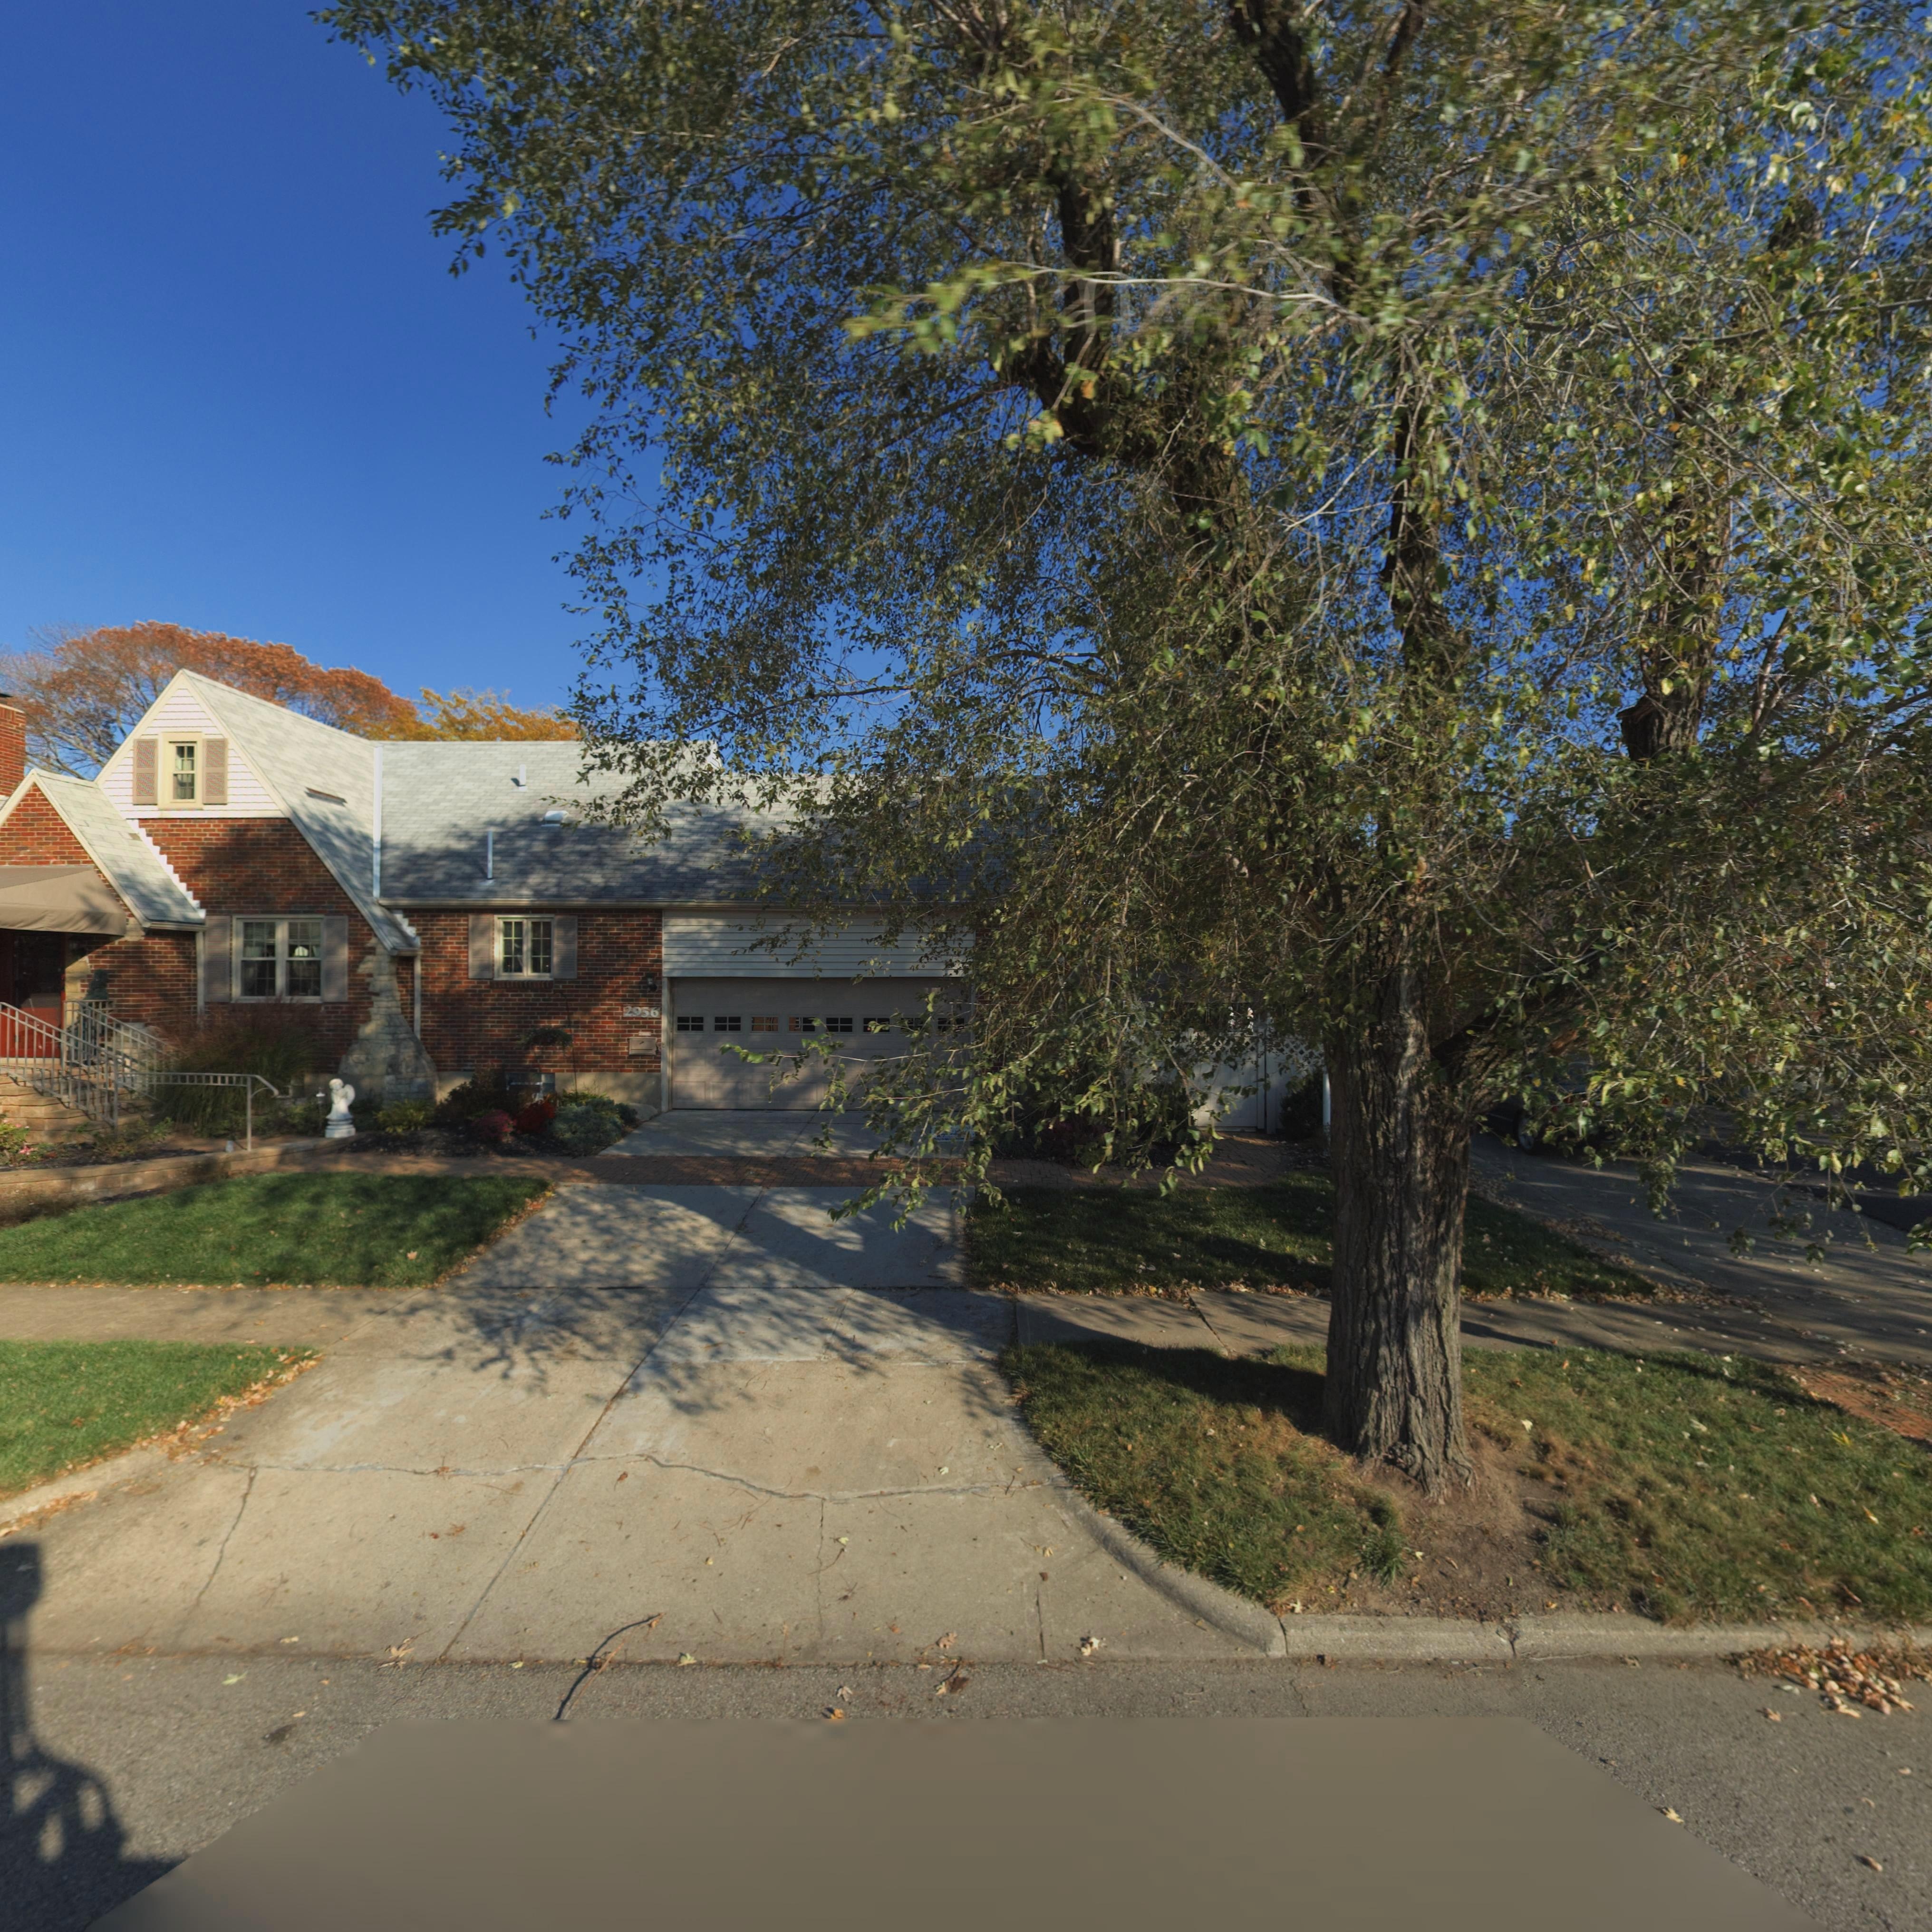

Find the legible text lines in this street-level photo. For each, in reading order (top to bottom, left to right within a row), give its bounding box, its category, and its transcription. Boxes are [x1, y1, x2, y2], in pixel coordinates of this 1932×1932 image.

[623, 1005, 660, 1019] StreetNumber: 2956